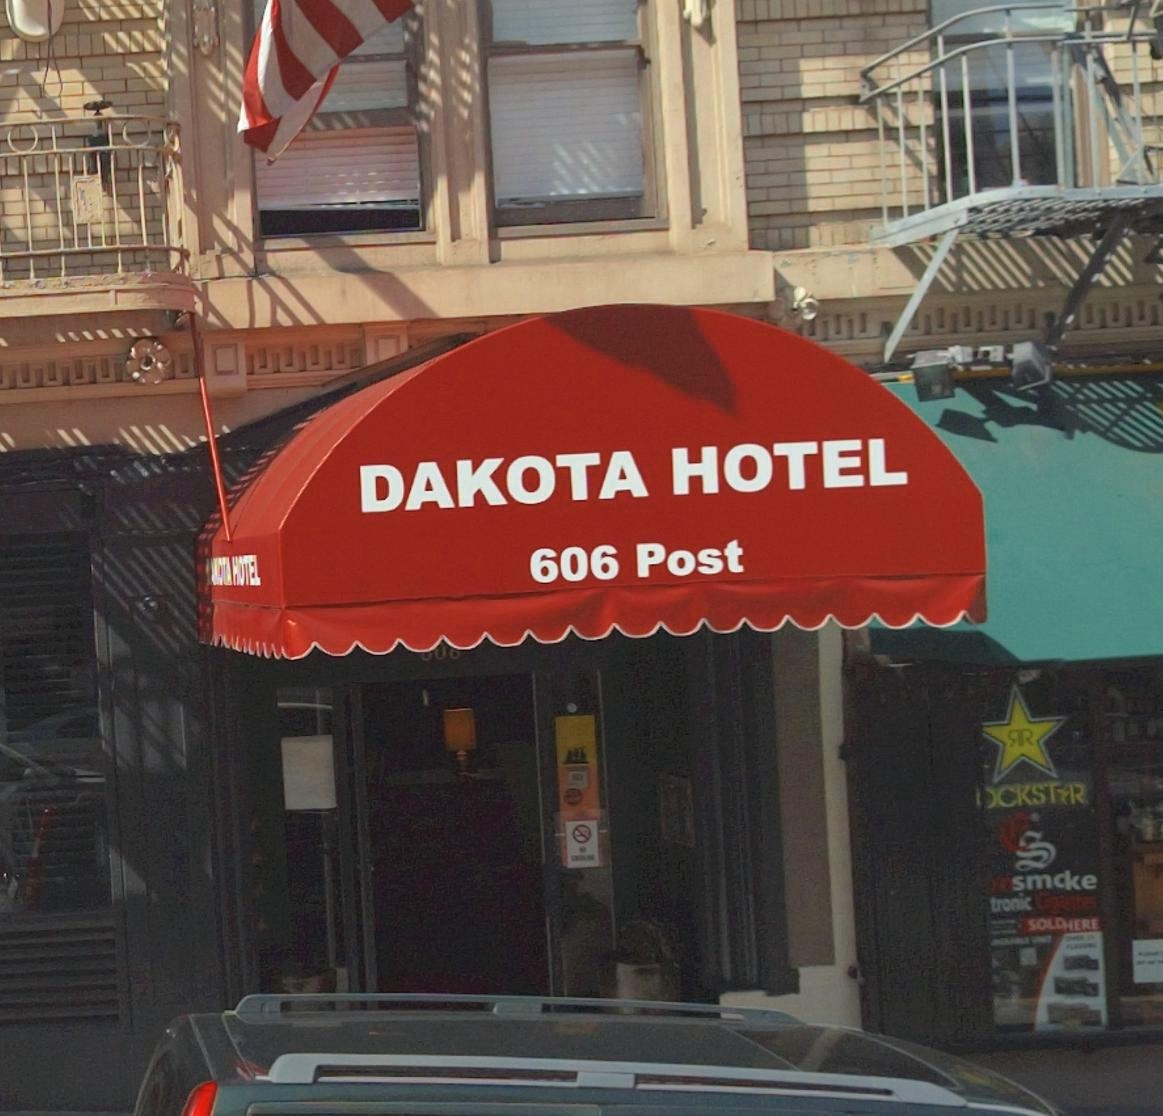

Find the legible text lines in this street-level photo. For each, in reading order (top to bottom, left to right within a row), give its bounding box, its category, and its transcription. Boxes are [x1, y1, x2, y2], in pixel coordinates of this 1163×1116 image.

[357, 434, 914, 516] BusinessName: DAKOTA HOTEL
[232, 554, 265, 587] None: HOTEL
[529, 544, 623, 586] StreetNumber: 606
[634, 538, 747, 578] StreetName: Post
[997, 781, 1063, 808] None: CKST
[1012, 868, 1101, 893] None: sm*ke
[987, 892, 1033, 913] None: tronic
[1027, 915, 1065, 932] None: SOLD
[1063, 916, 1101, 932] None: HERE